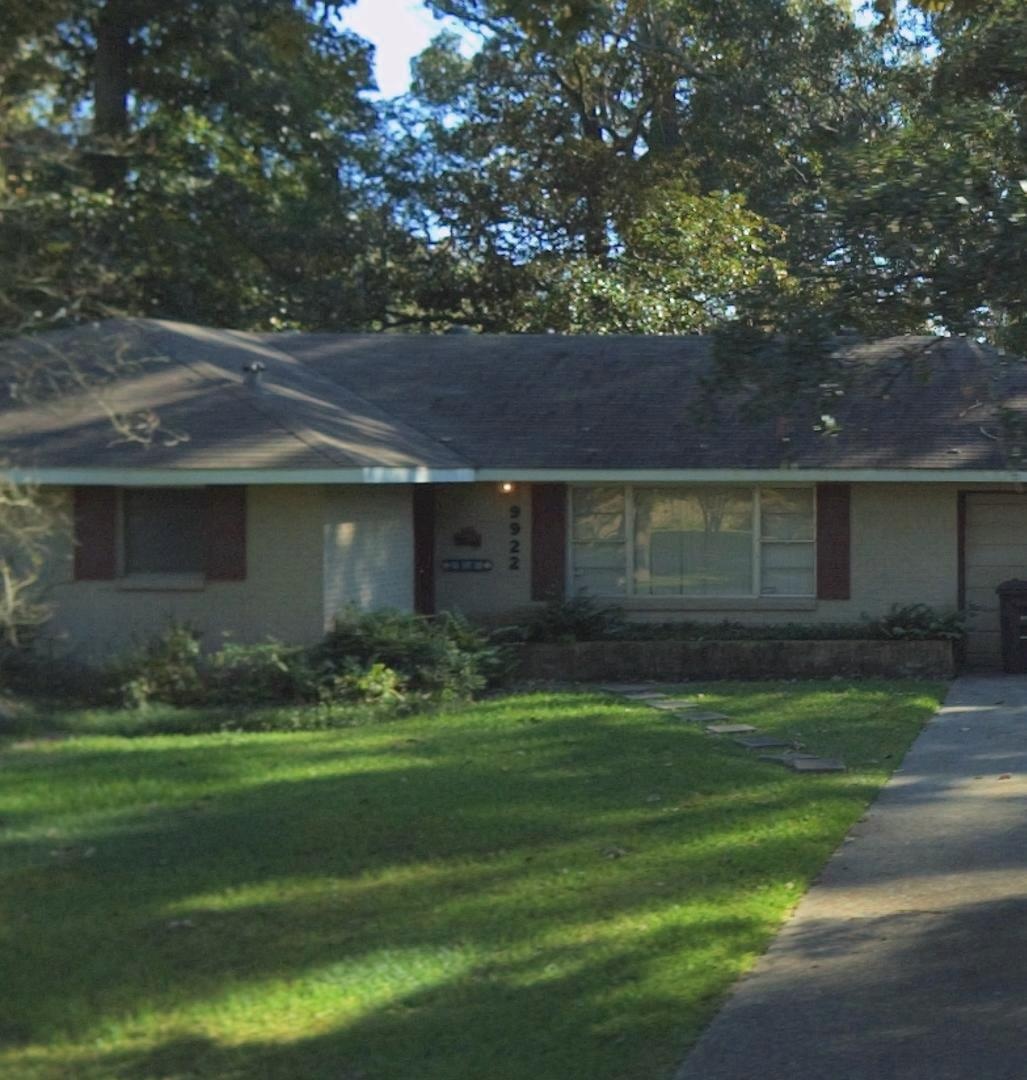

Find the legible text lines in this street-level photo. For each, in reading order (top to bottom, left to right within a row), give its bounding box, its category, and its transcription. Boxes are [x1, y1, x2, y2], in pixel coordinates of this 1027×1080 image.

[507, 504, 522, 571] StreetNumber: 9922